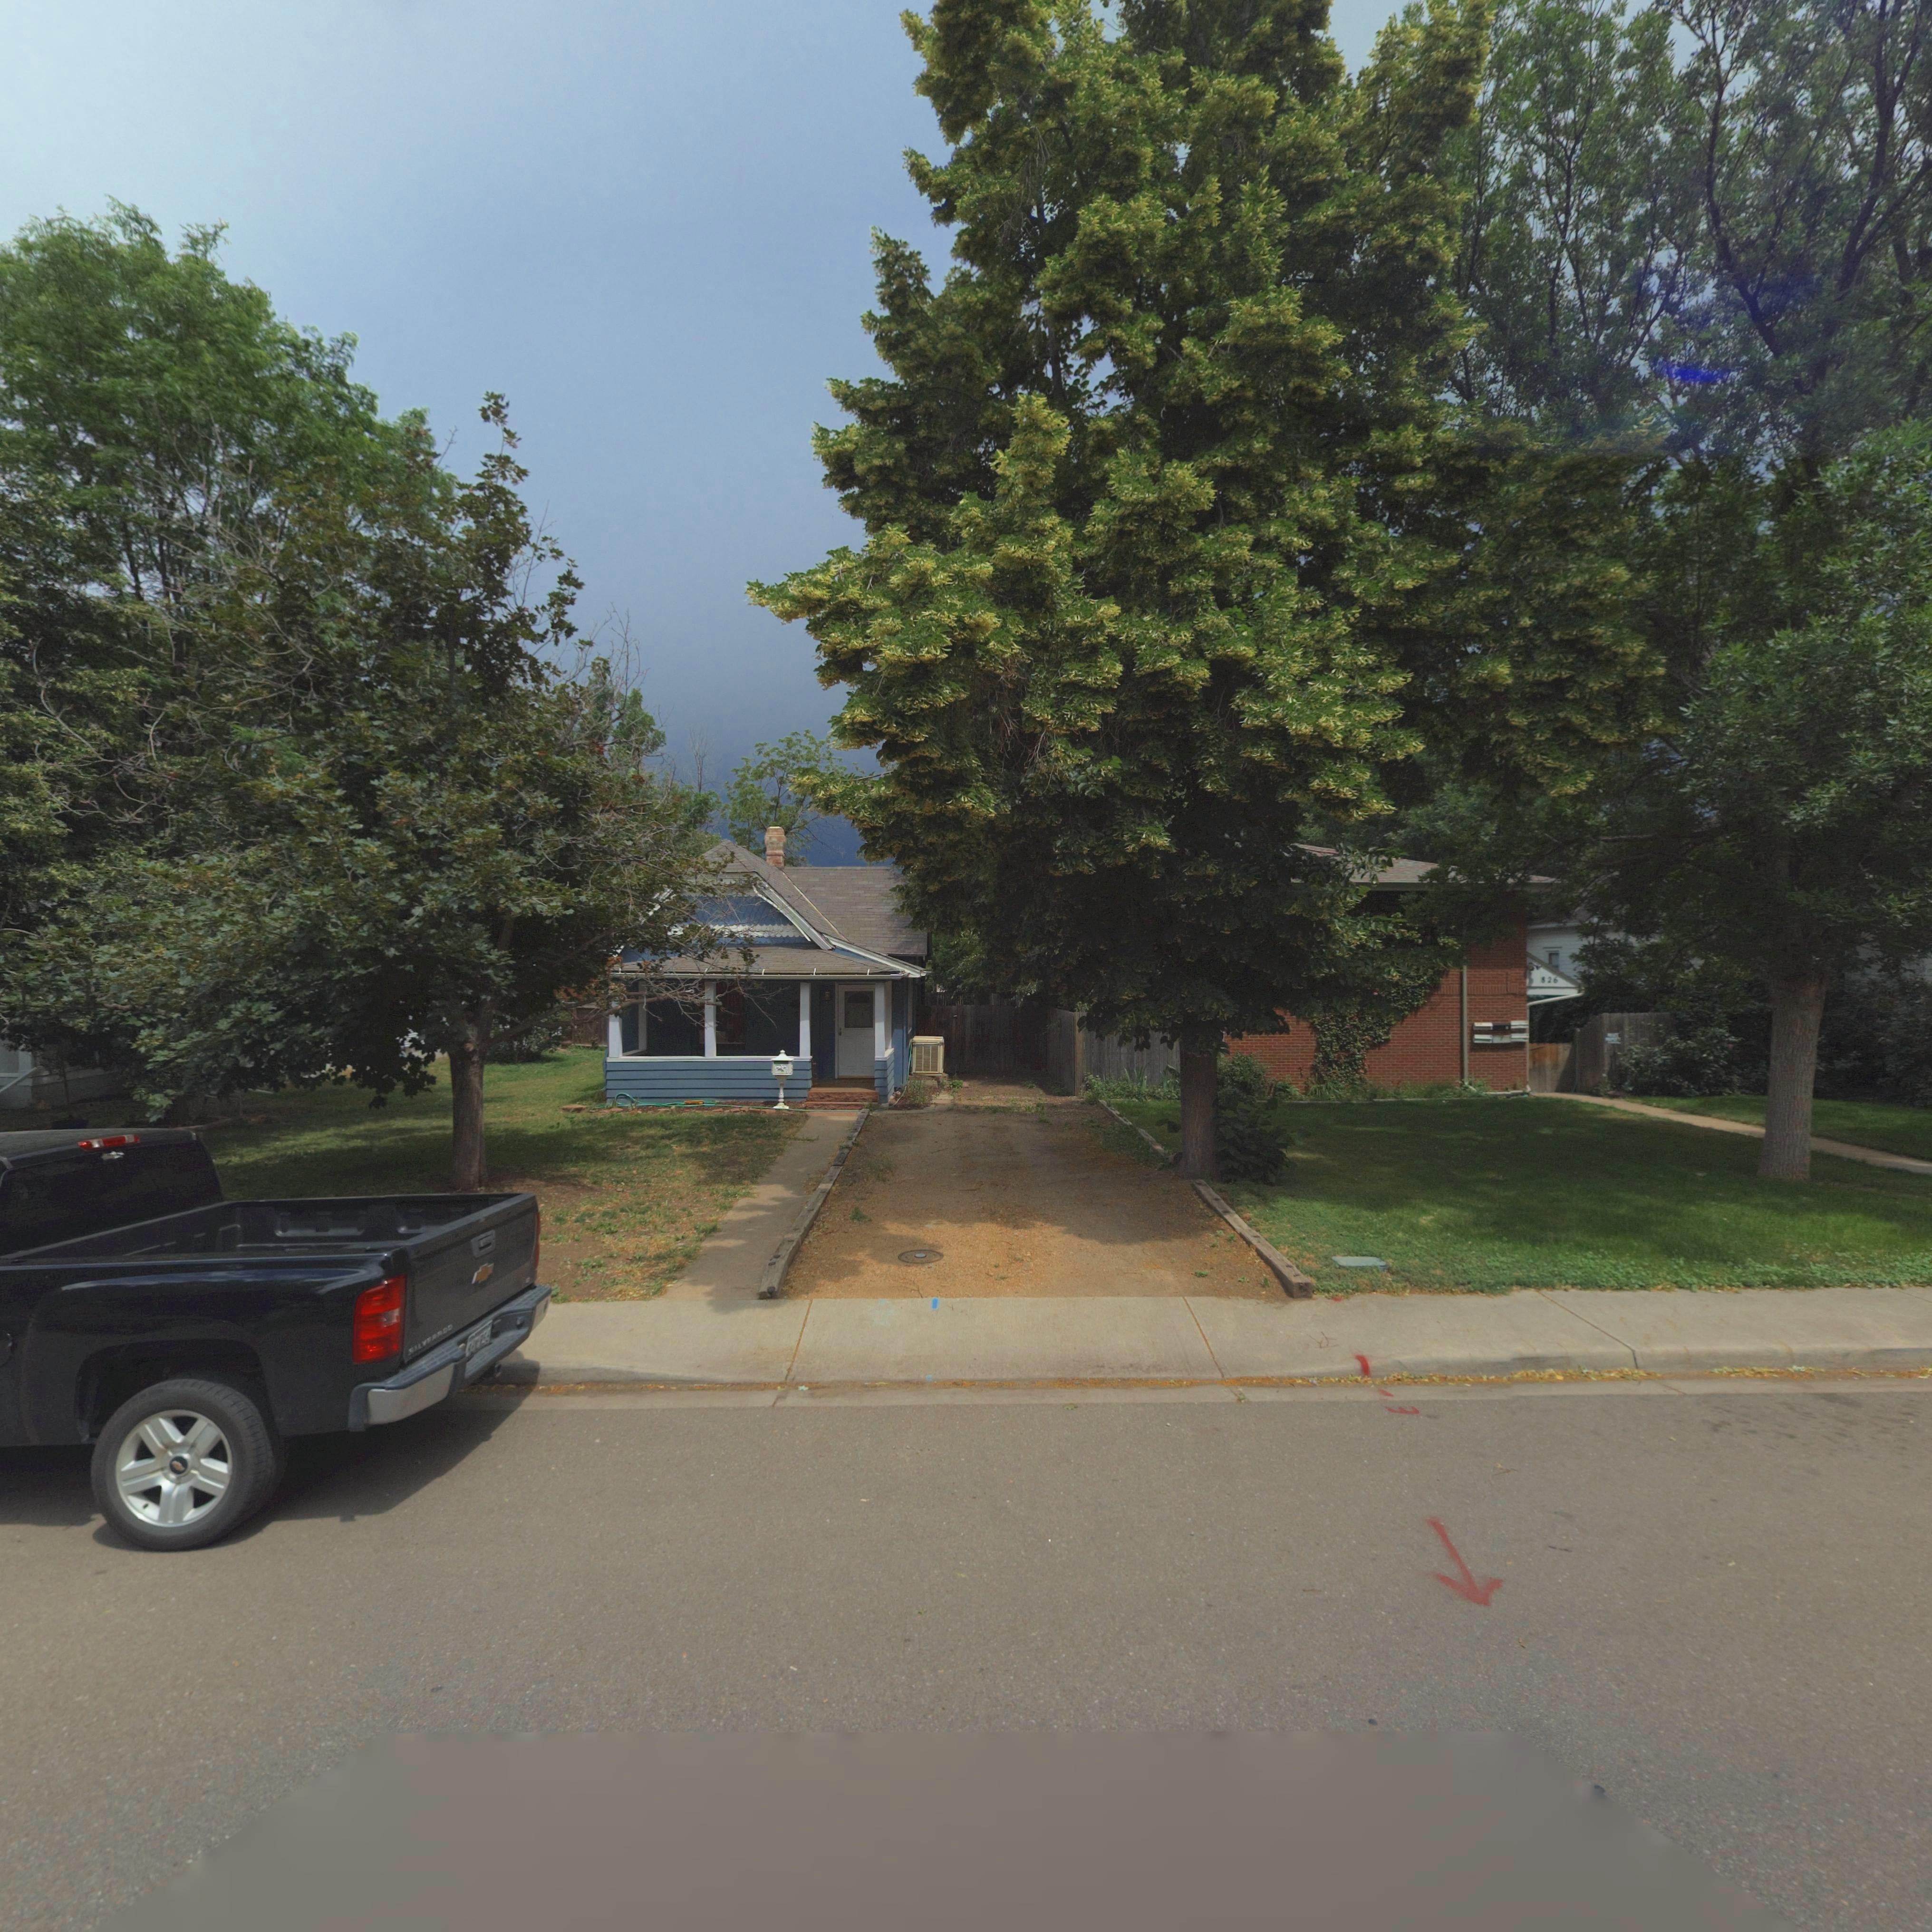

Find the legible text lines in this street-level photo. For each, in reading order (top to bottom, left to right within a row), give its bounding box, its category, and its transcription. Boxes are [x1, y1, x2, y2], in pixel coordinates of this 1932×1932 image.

[1541, 976, 1558, 984] StreetNumber: 826